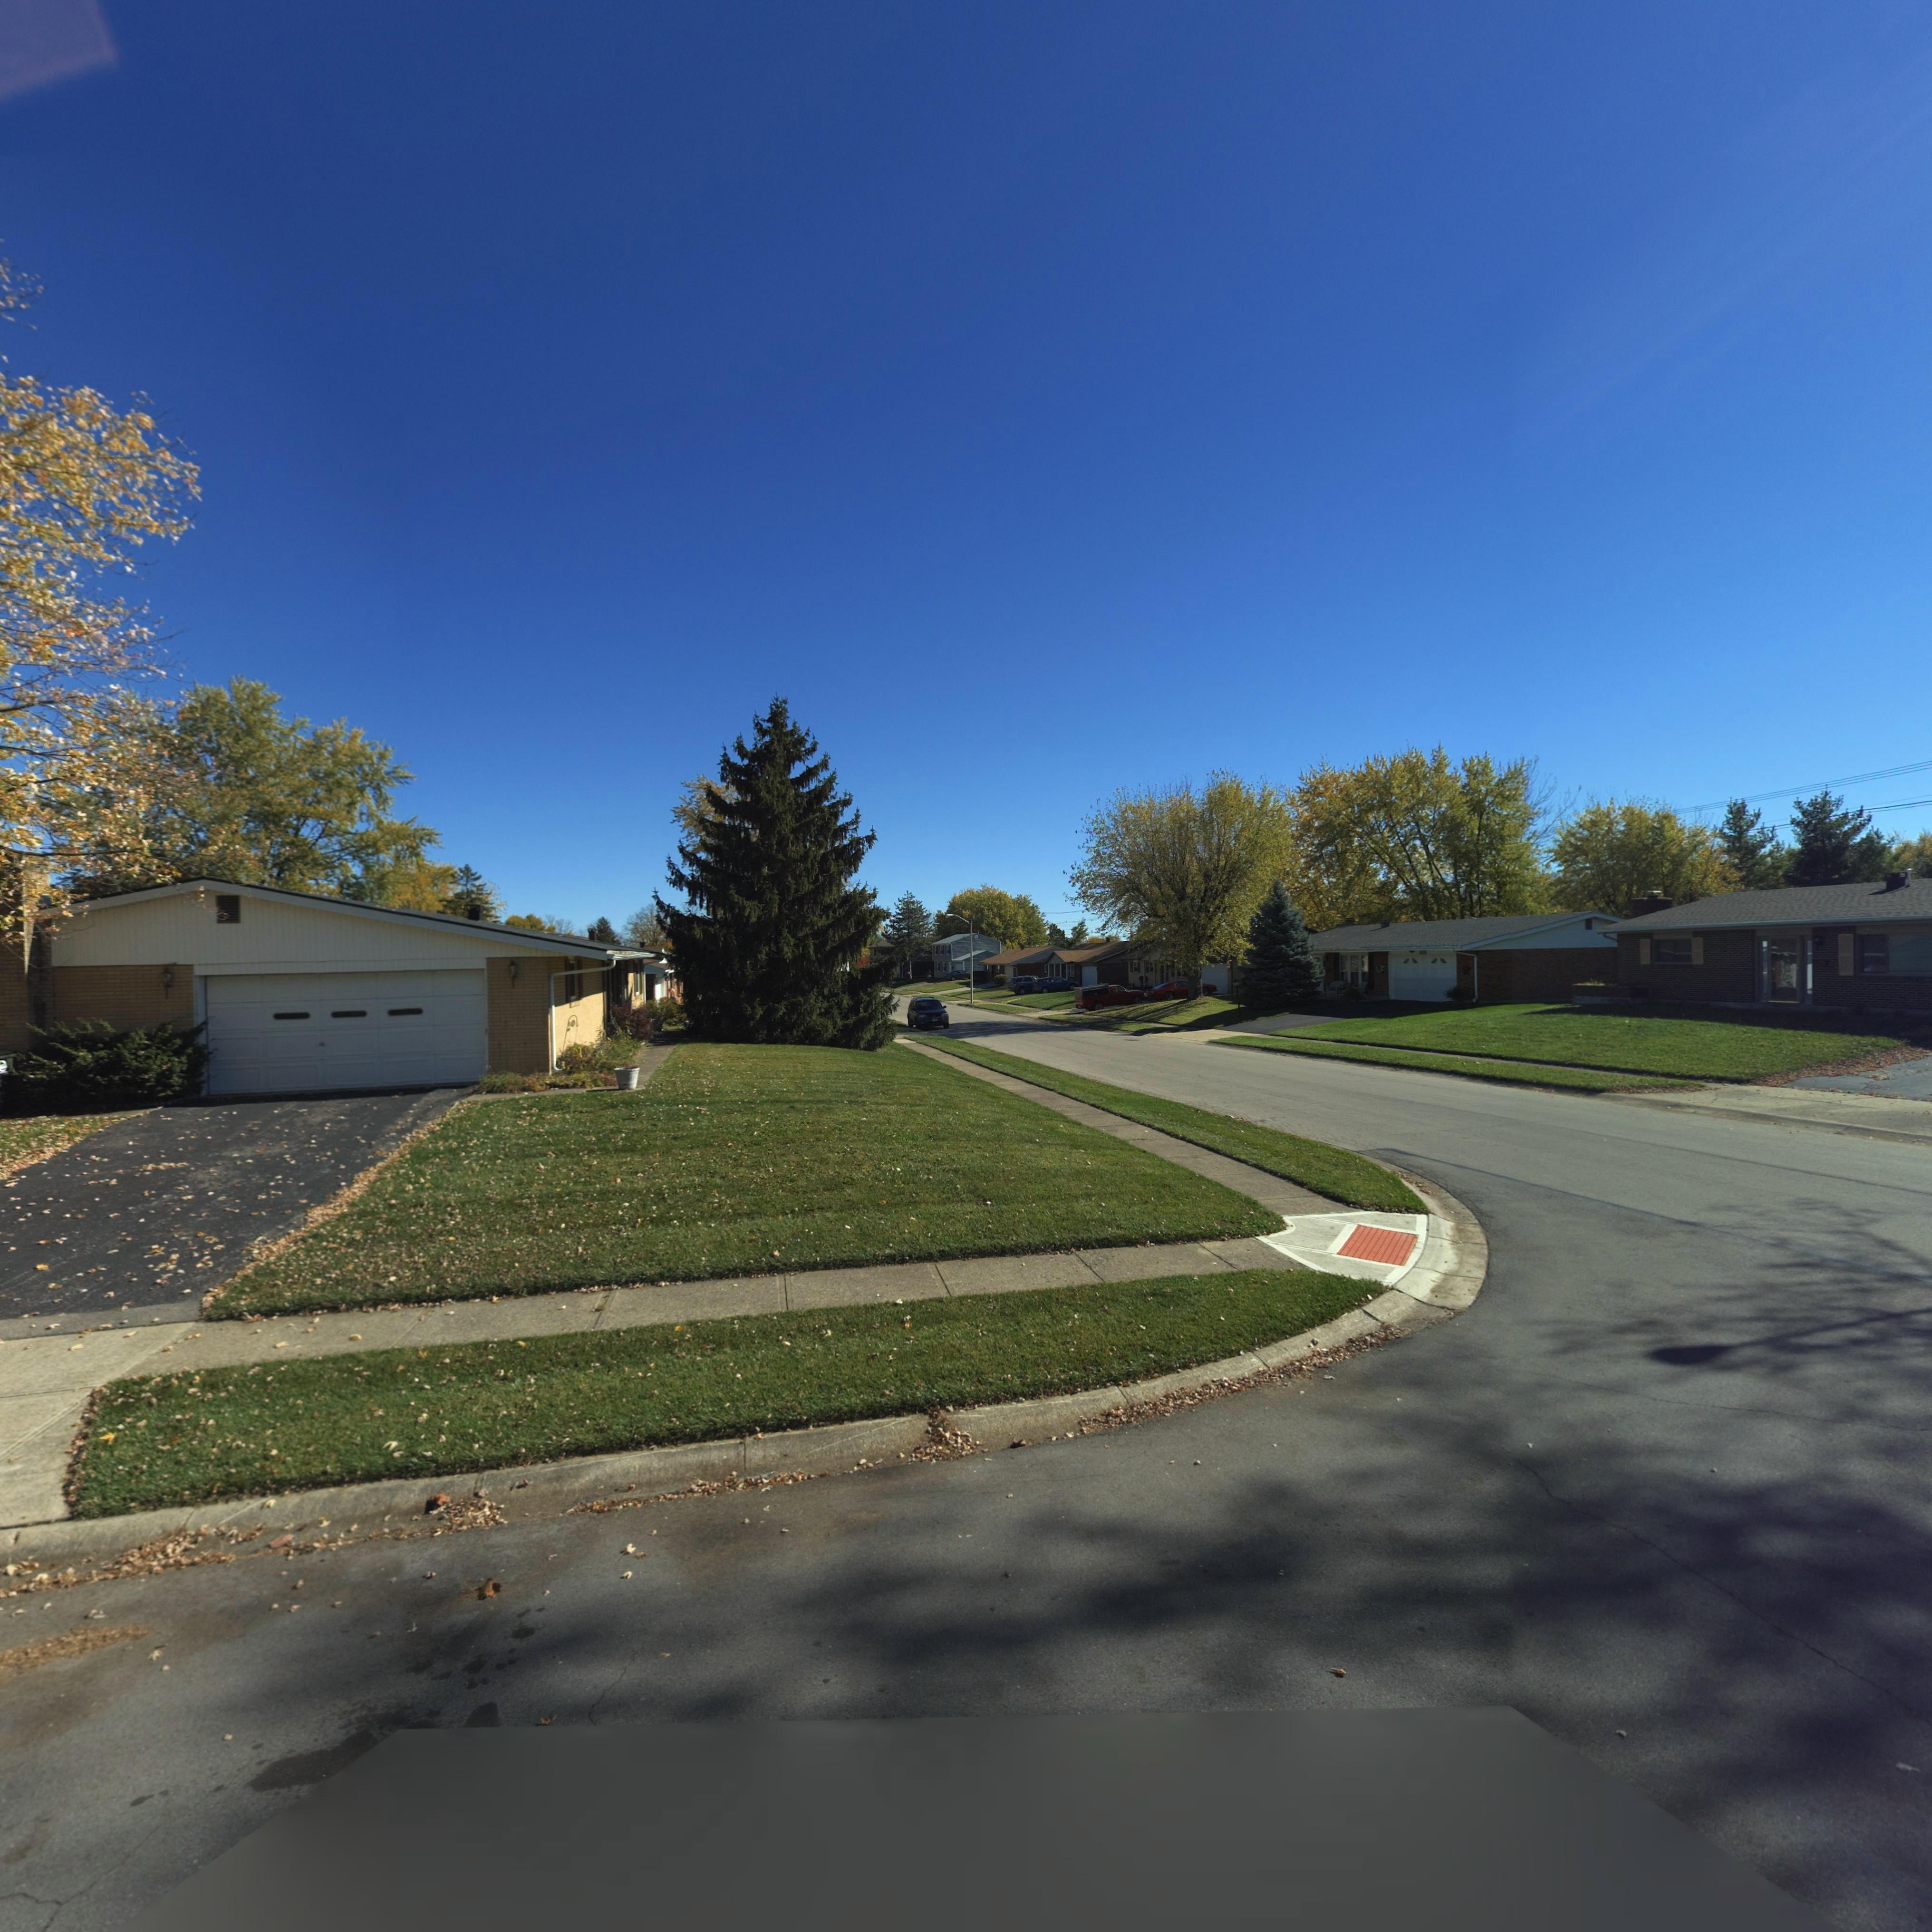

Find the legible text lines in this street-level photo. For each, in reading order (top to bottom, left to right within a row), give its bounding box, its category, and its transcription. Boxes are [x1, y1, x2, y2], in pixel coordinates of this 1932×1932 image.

[1777, 929, 1786, 935] StreetNumber: 1**
[1420, 950, 1427, 955] StreetNumber: 2**